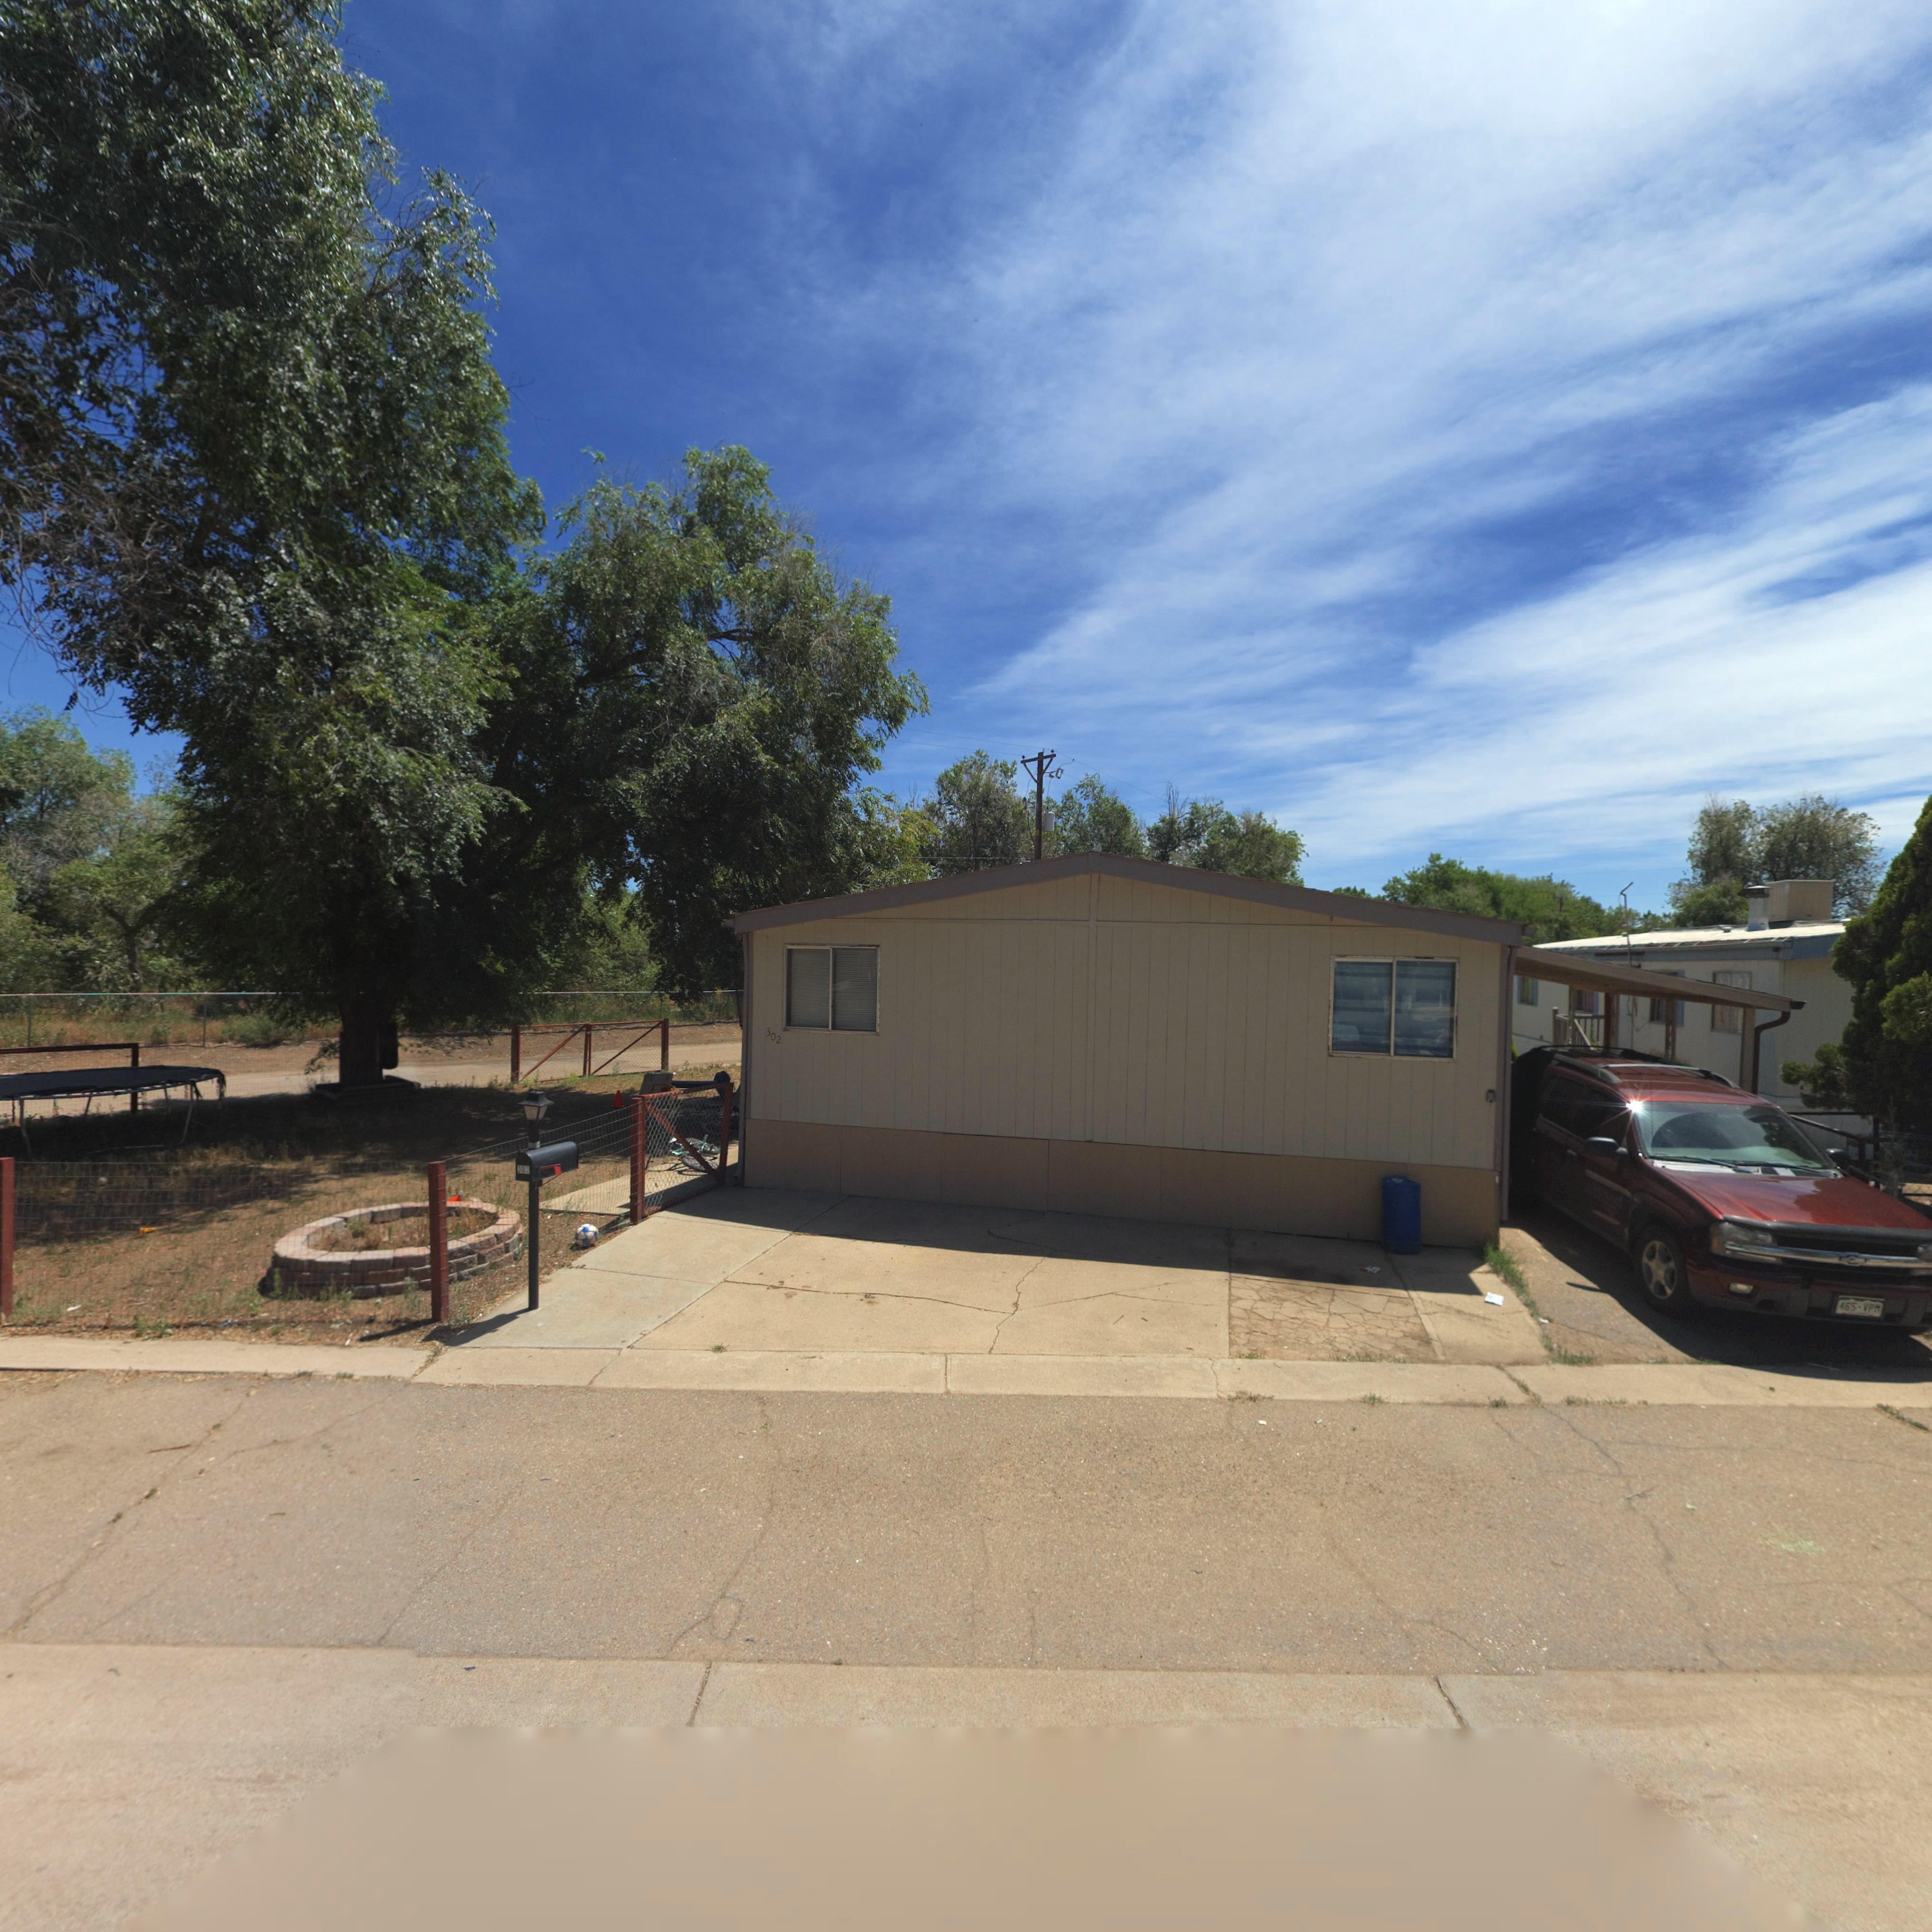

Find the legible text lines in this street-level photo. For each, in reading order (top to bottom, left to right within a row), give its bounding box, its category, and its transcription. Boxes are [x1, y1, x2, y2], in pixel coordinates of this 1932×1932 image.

[765, 1027, 782, 1044] StreetNumber: 302
[517, 1165, 530, 1173] StreetNumber: 30*